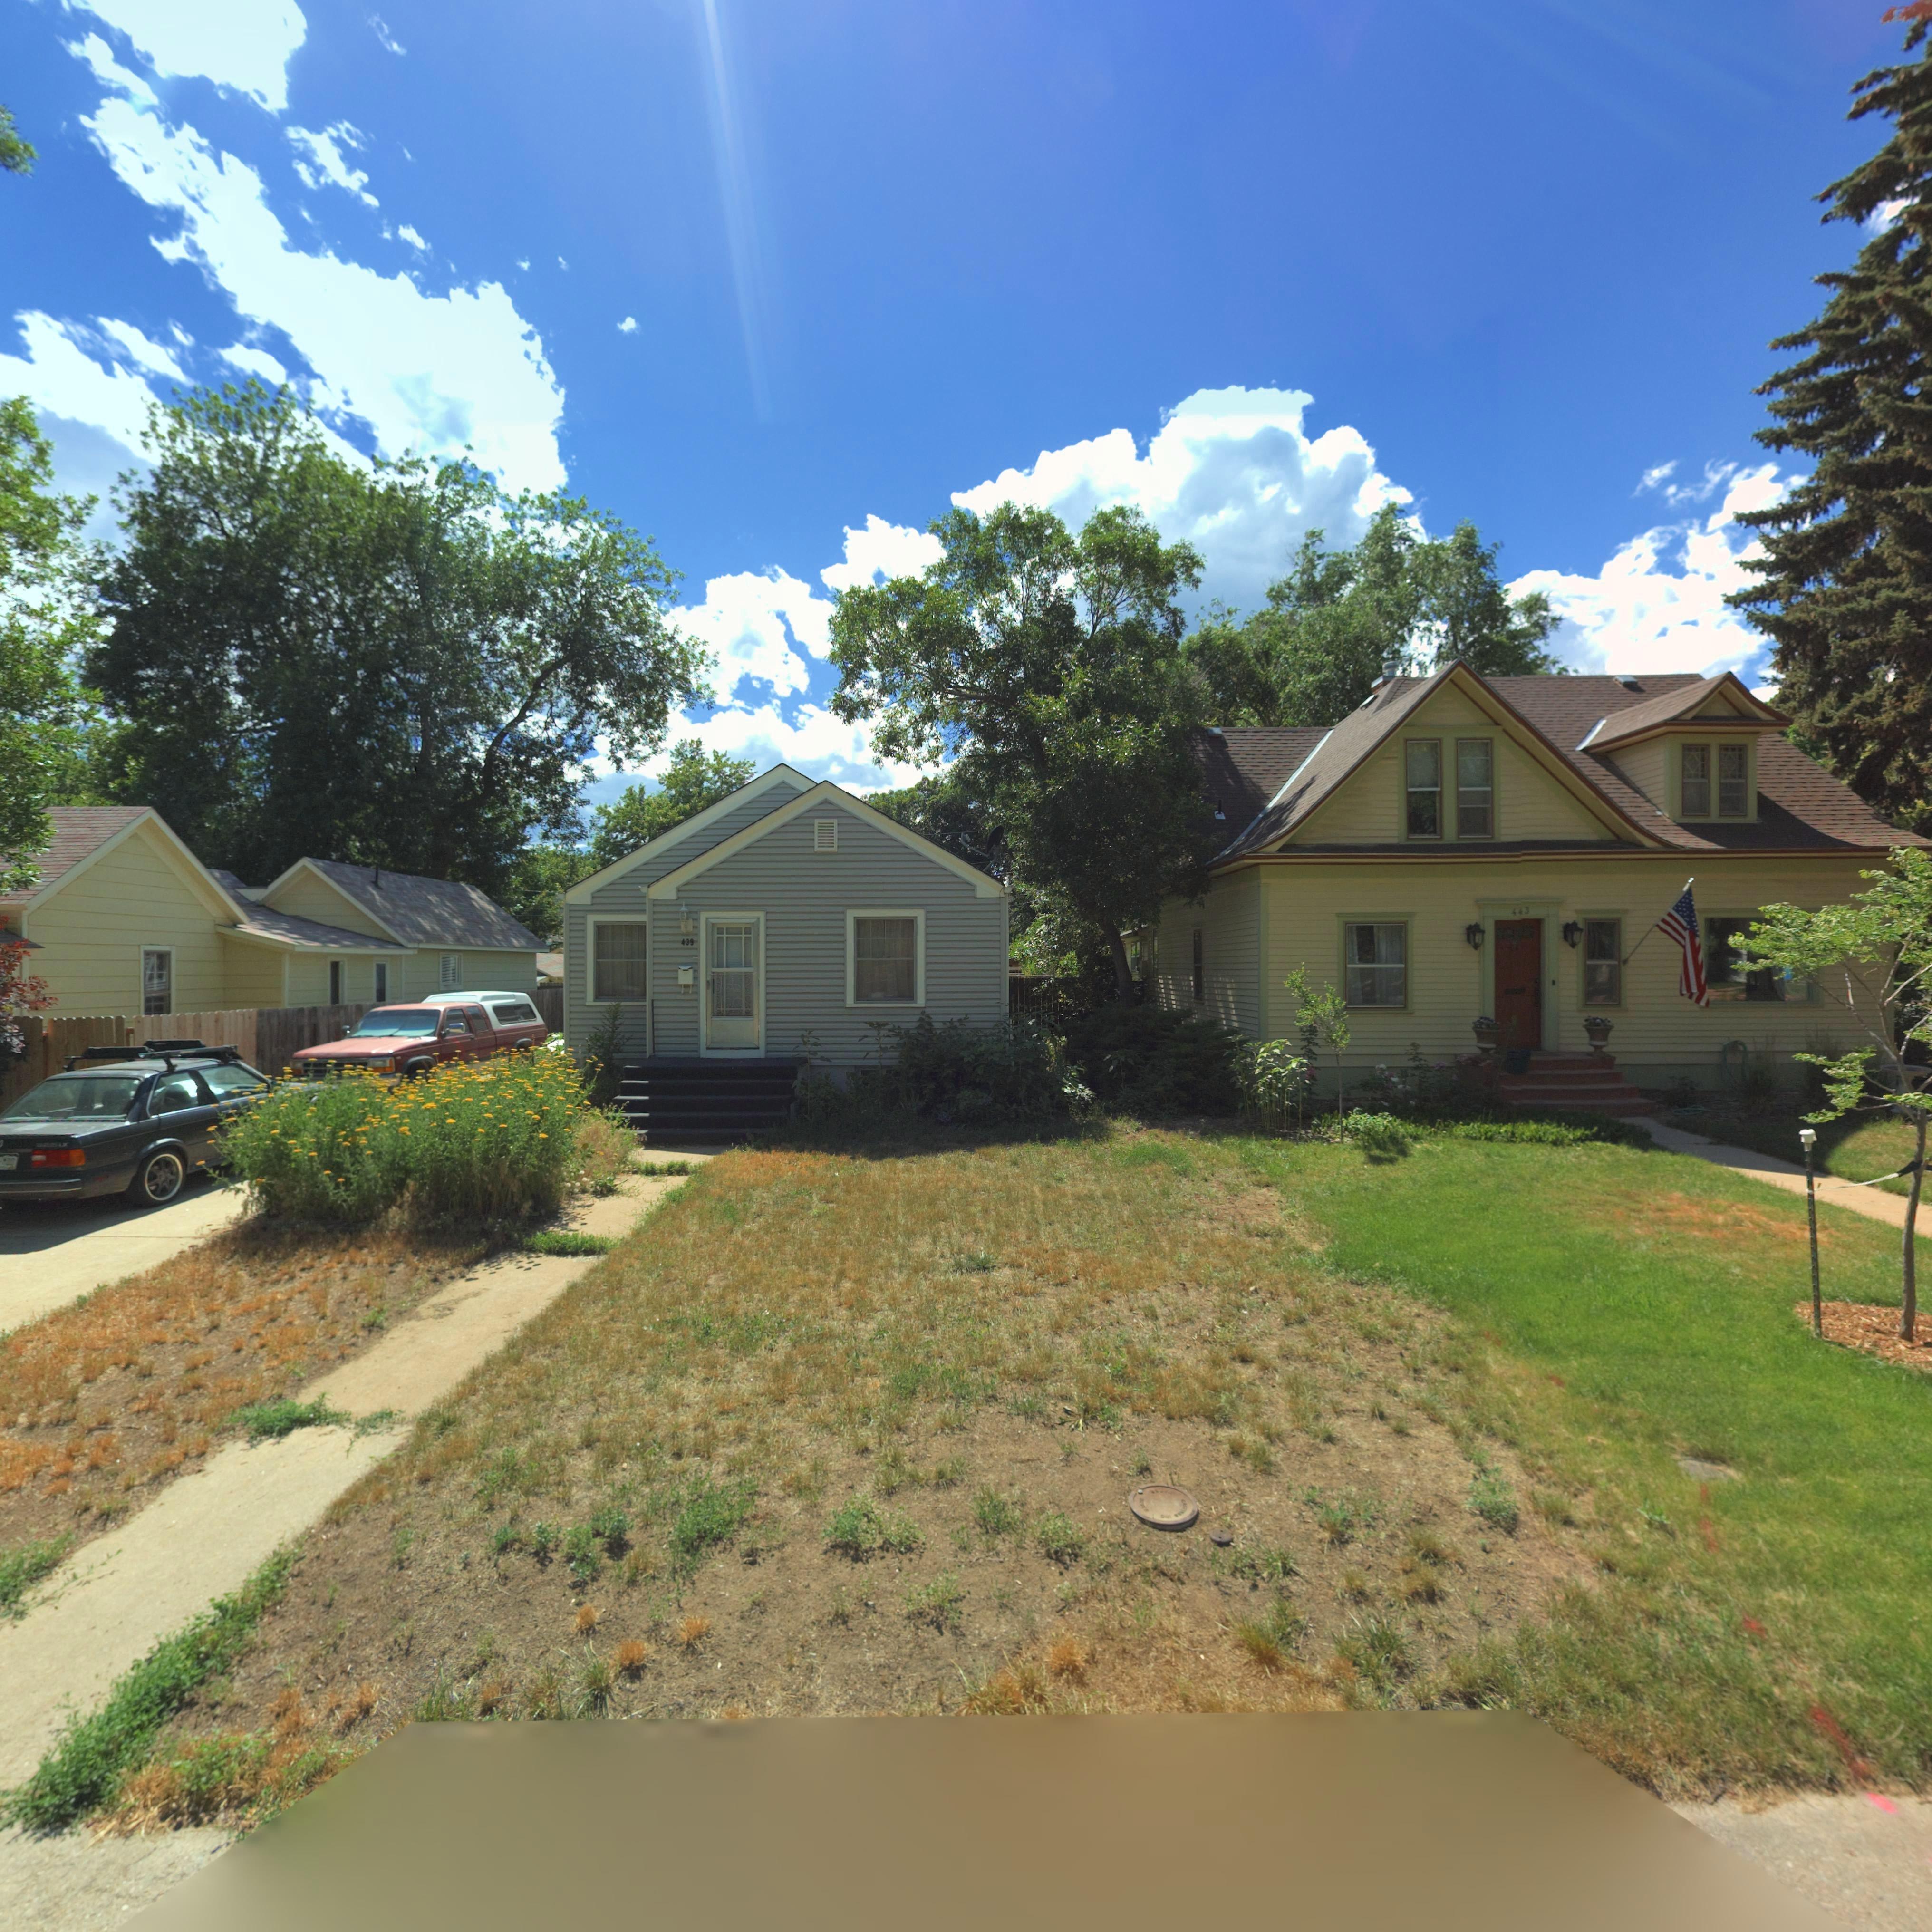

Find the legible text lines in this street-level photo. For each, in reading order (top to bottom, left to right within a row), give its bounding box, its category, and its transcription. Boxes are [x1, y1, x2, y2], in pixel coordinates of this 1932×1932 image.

[1510, 907, 1529, 916] StreetNumber: 443
[680, 937, 694, 946] StreetNumber: 439